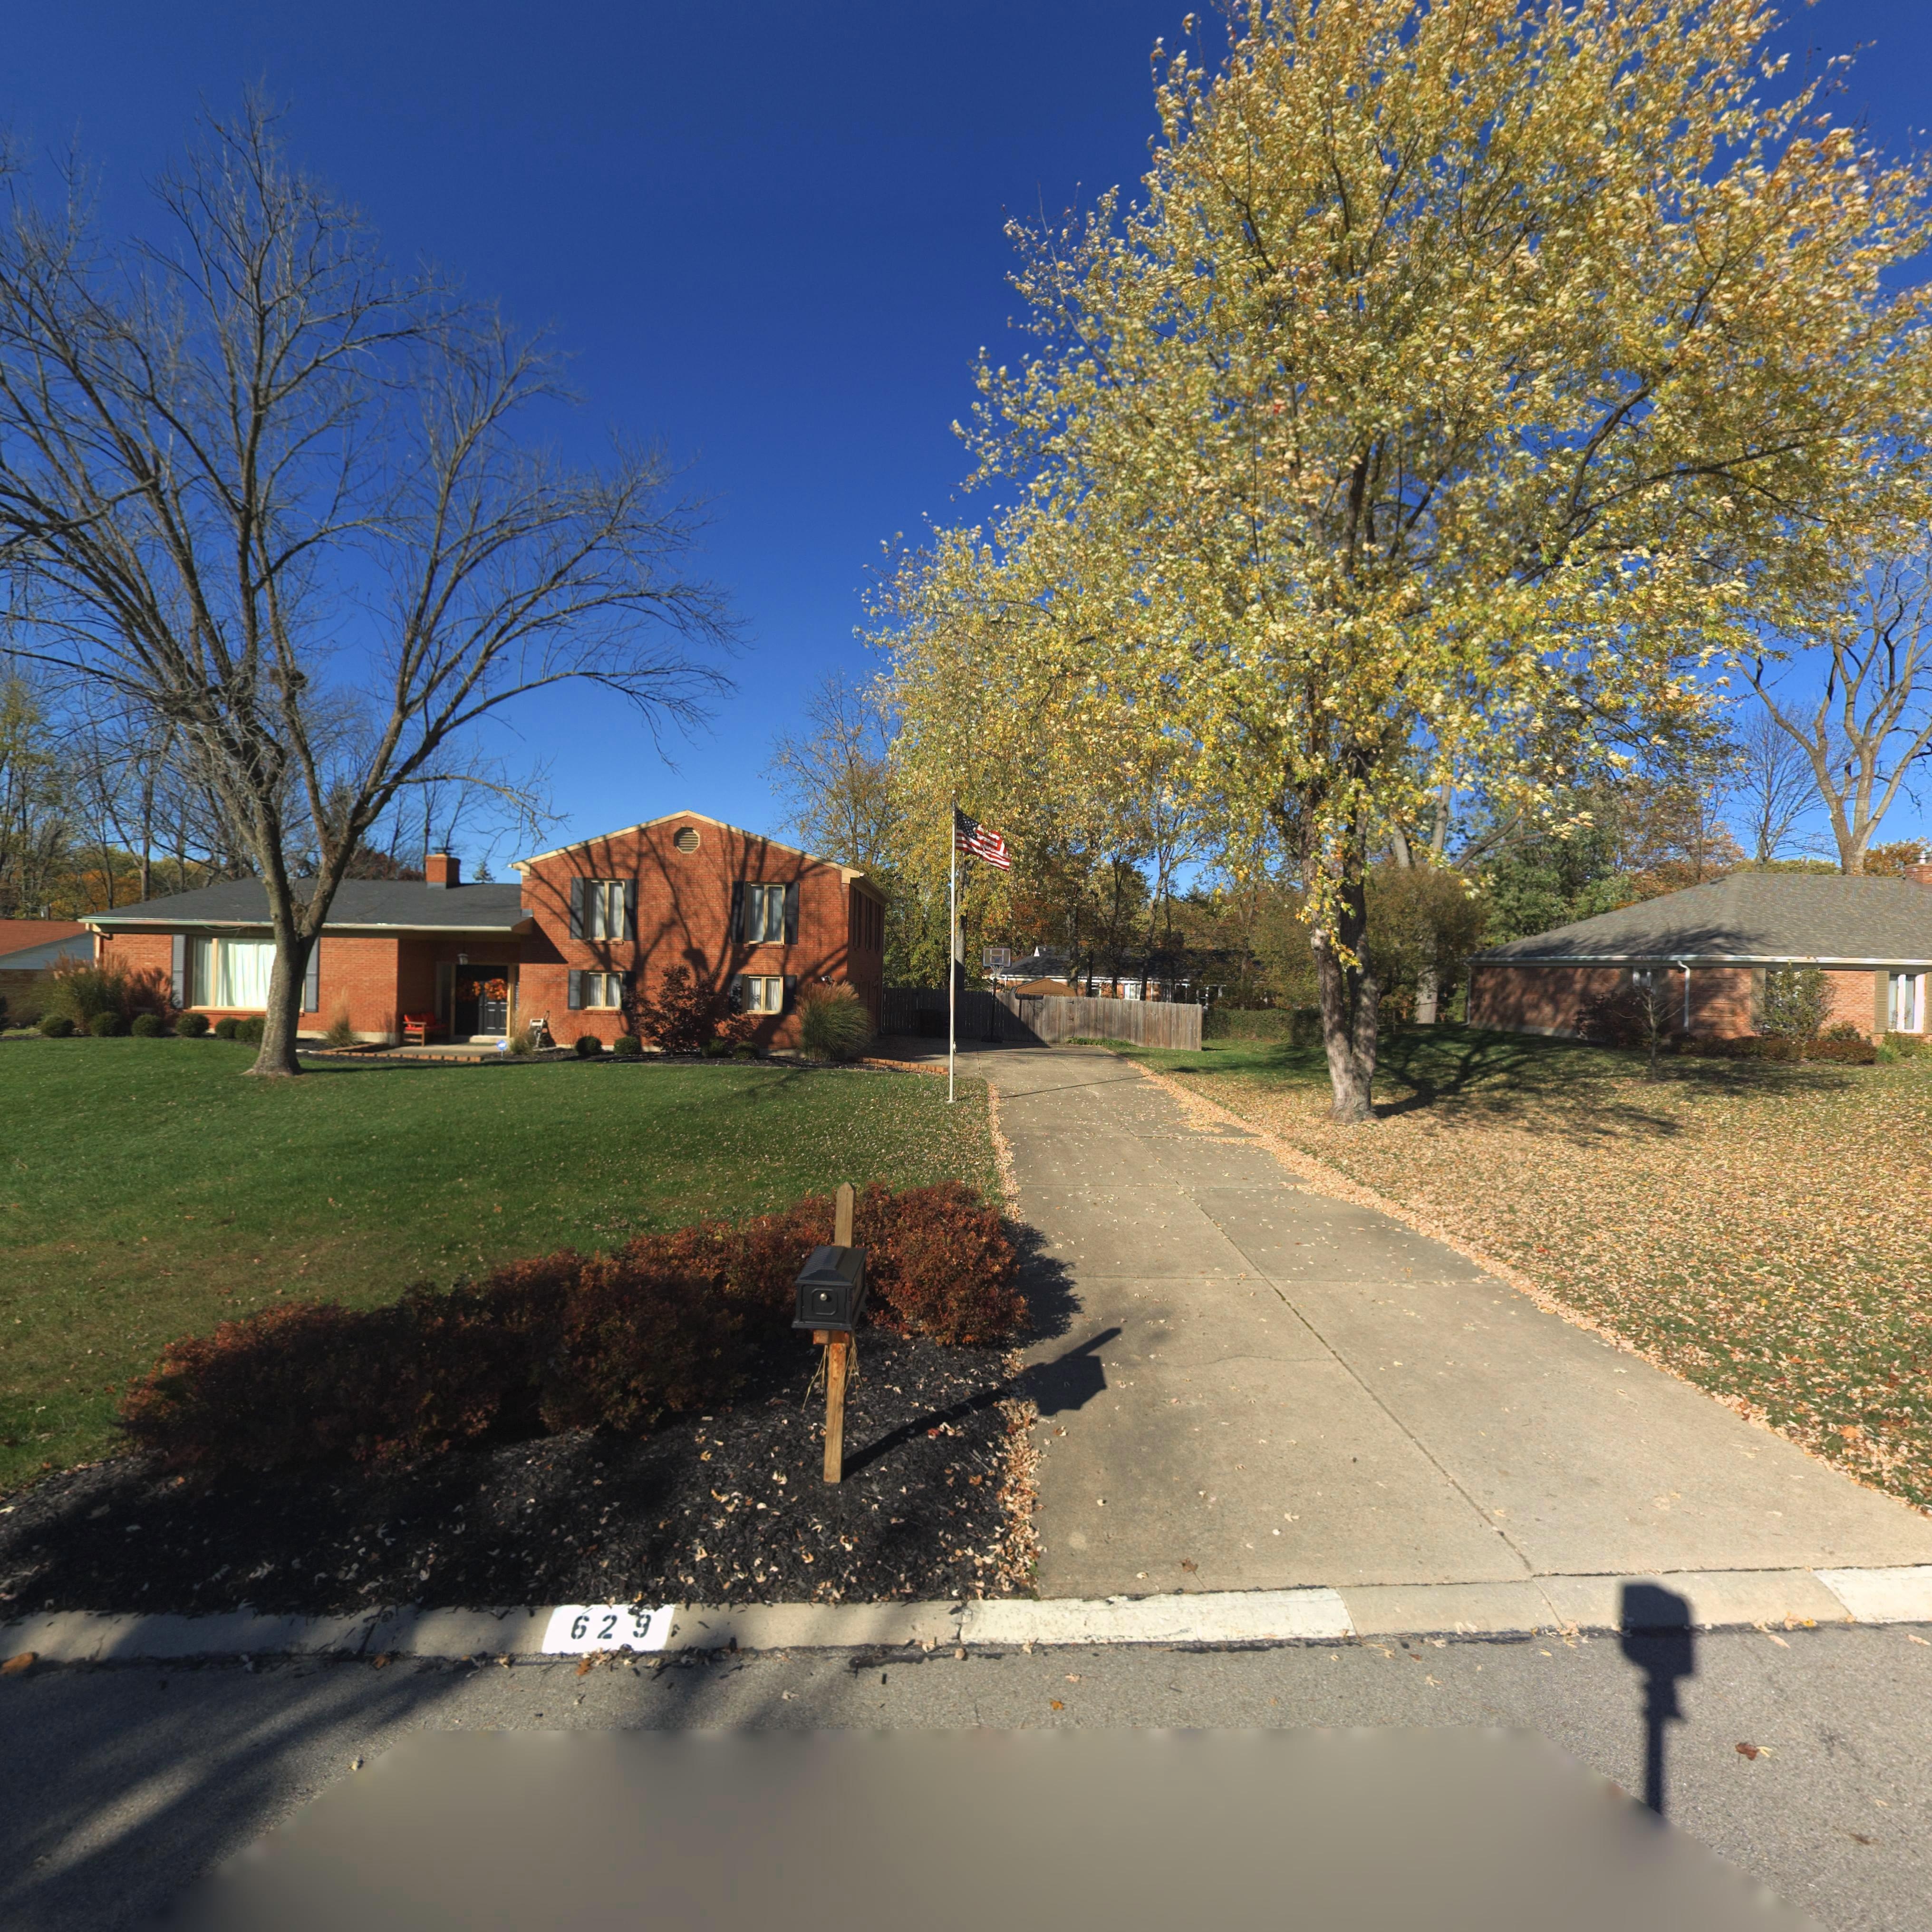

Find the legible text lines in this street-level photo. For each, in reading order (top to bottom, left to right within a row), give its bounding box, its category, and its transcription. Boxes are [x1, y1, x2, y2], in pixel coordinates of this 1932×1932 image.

[566, 1613, 656, 1641] StreetNumber: 629